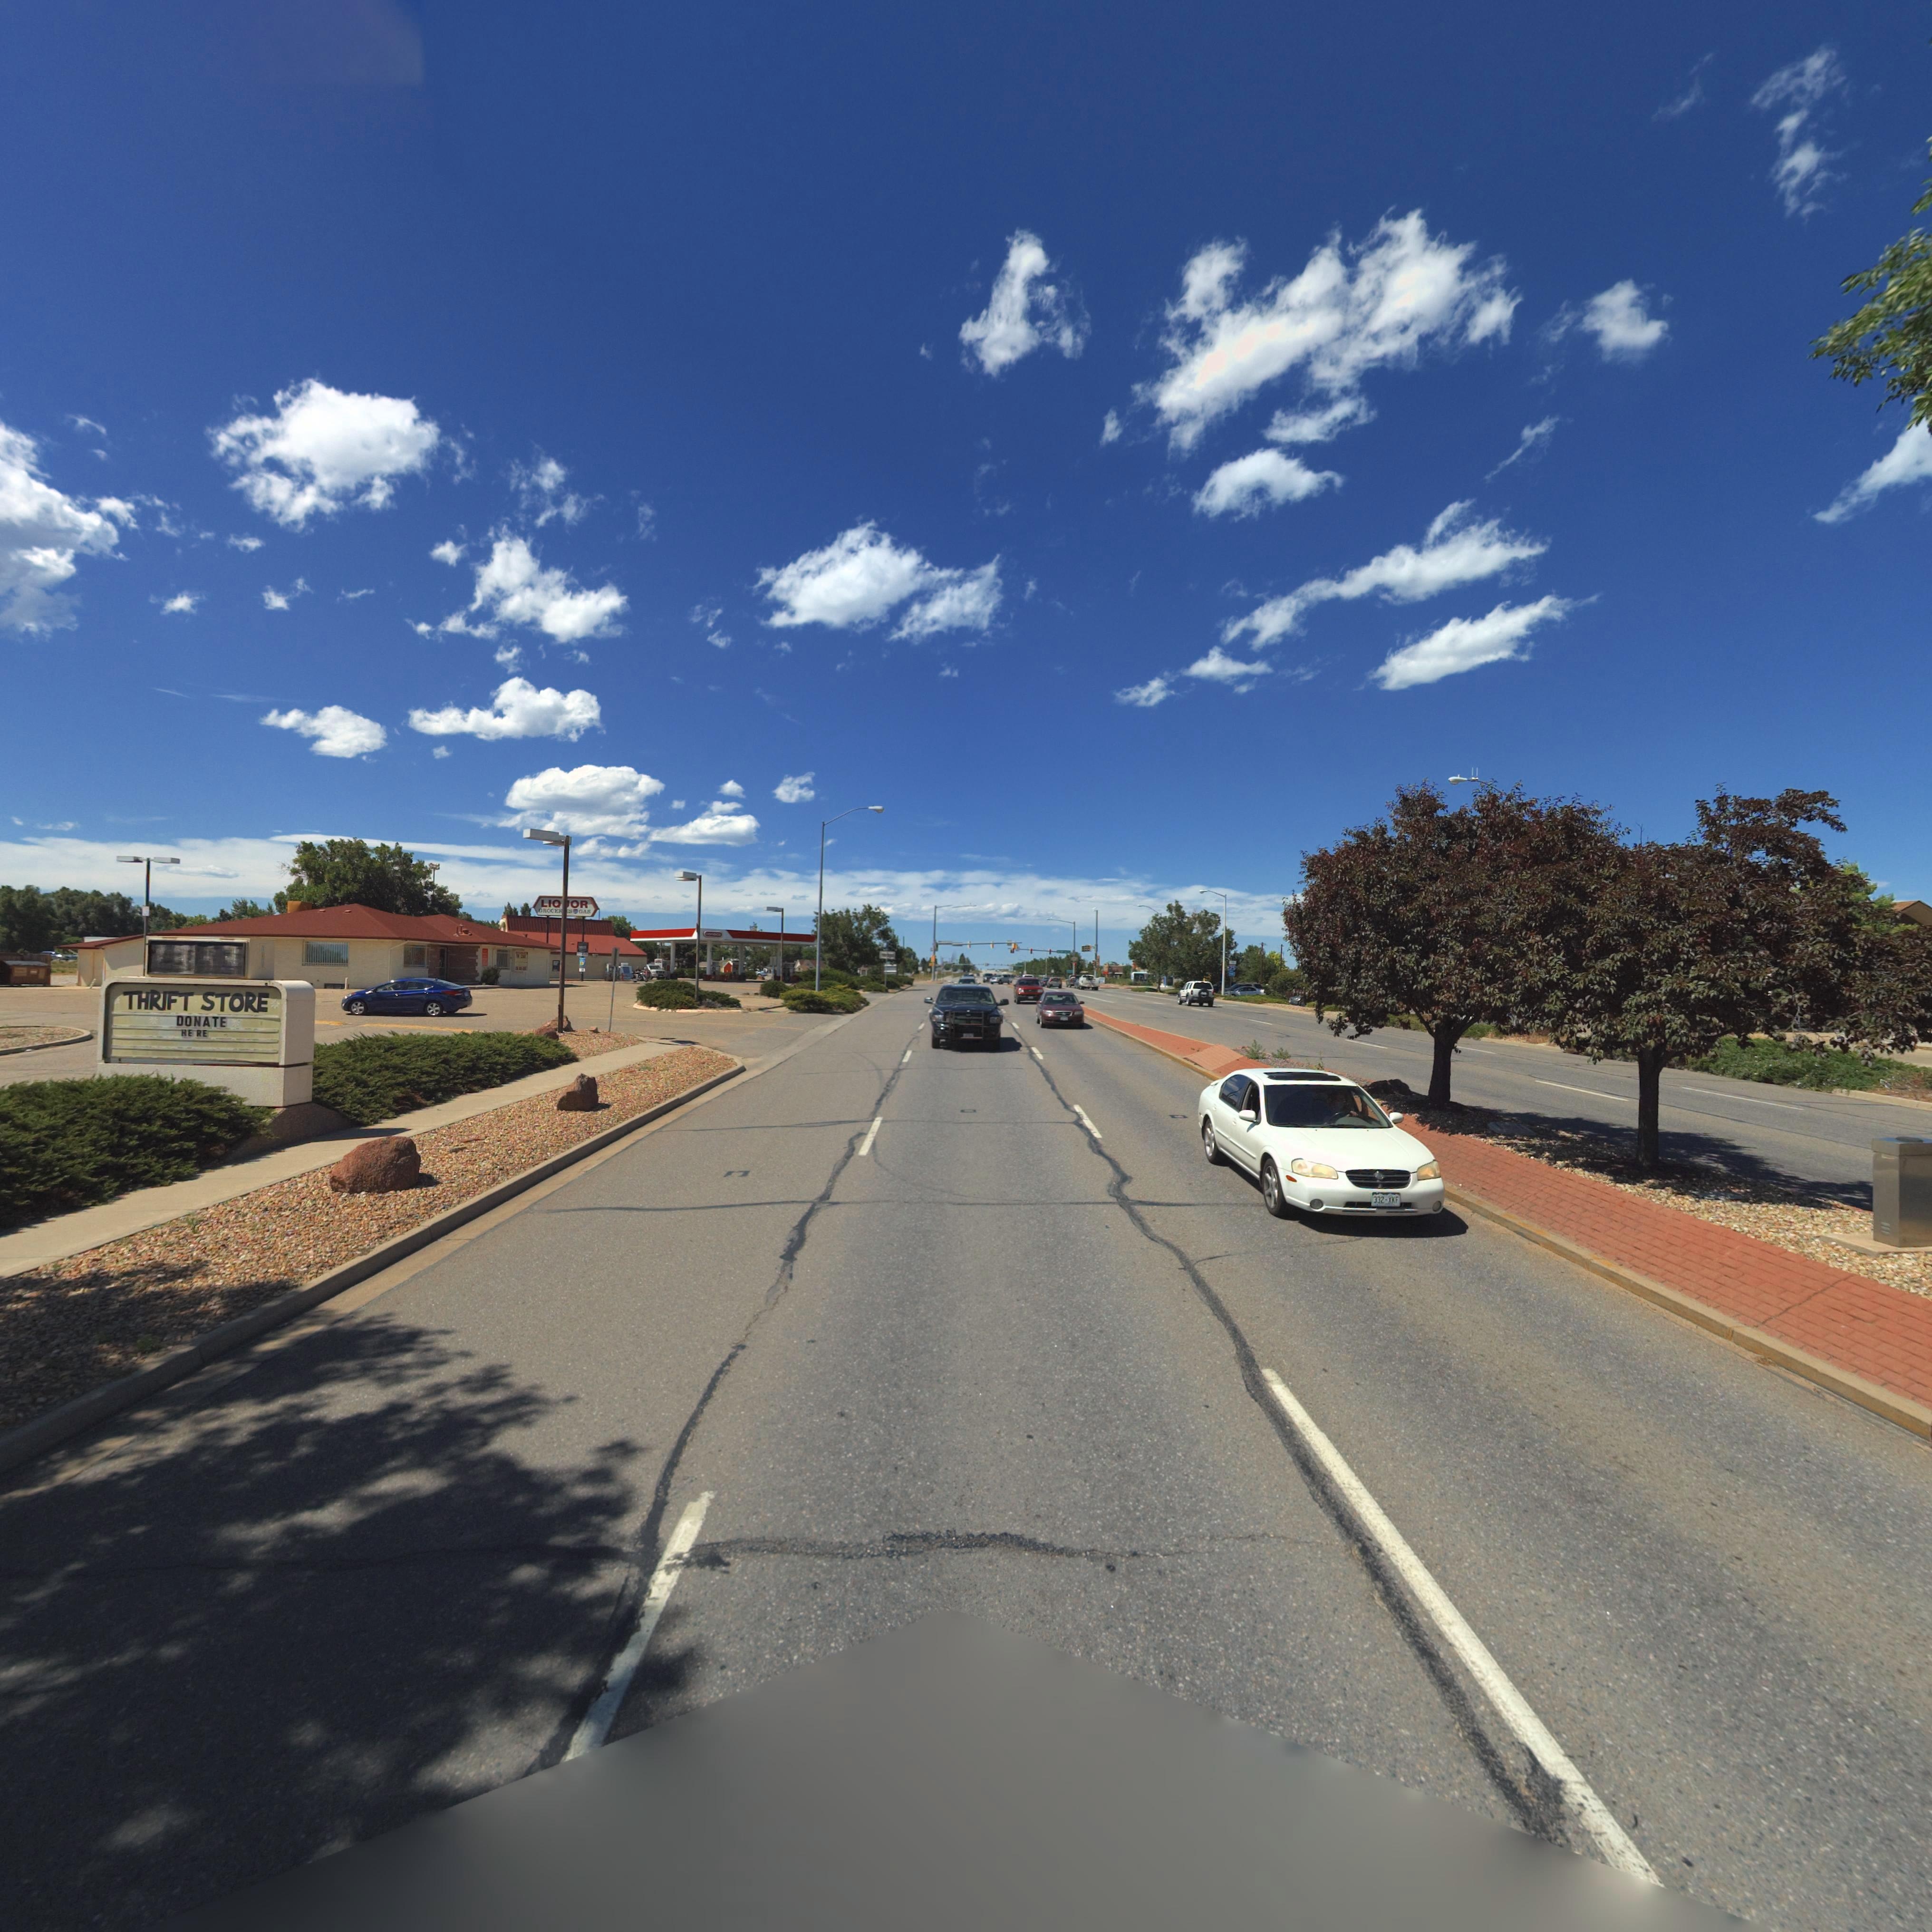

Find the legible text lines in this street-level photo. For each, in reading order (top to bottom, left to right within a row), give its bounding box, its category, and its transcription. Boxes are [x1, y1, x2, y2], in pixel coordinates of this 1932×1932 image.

[706, 932, 721, 936] BusinessName: conoco